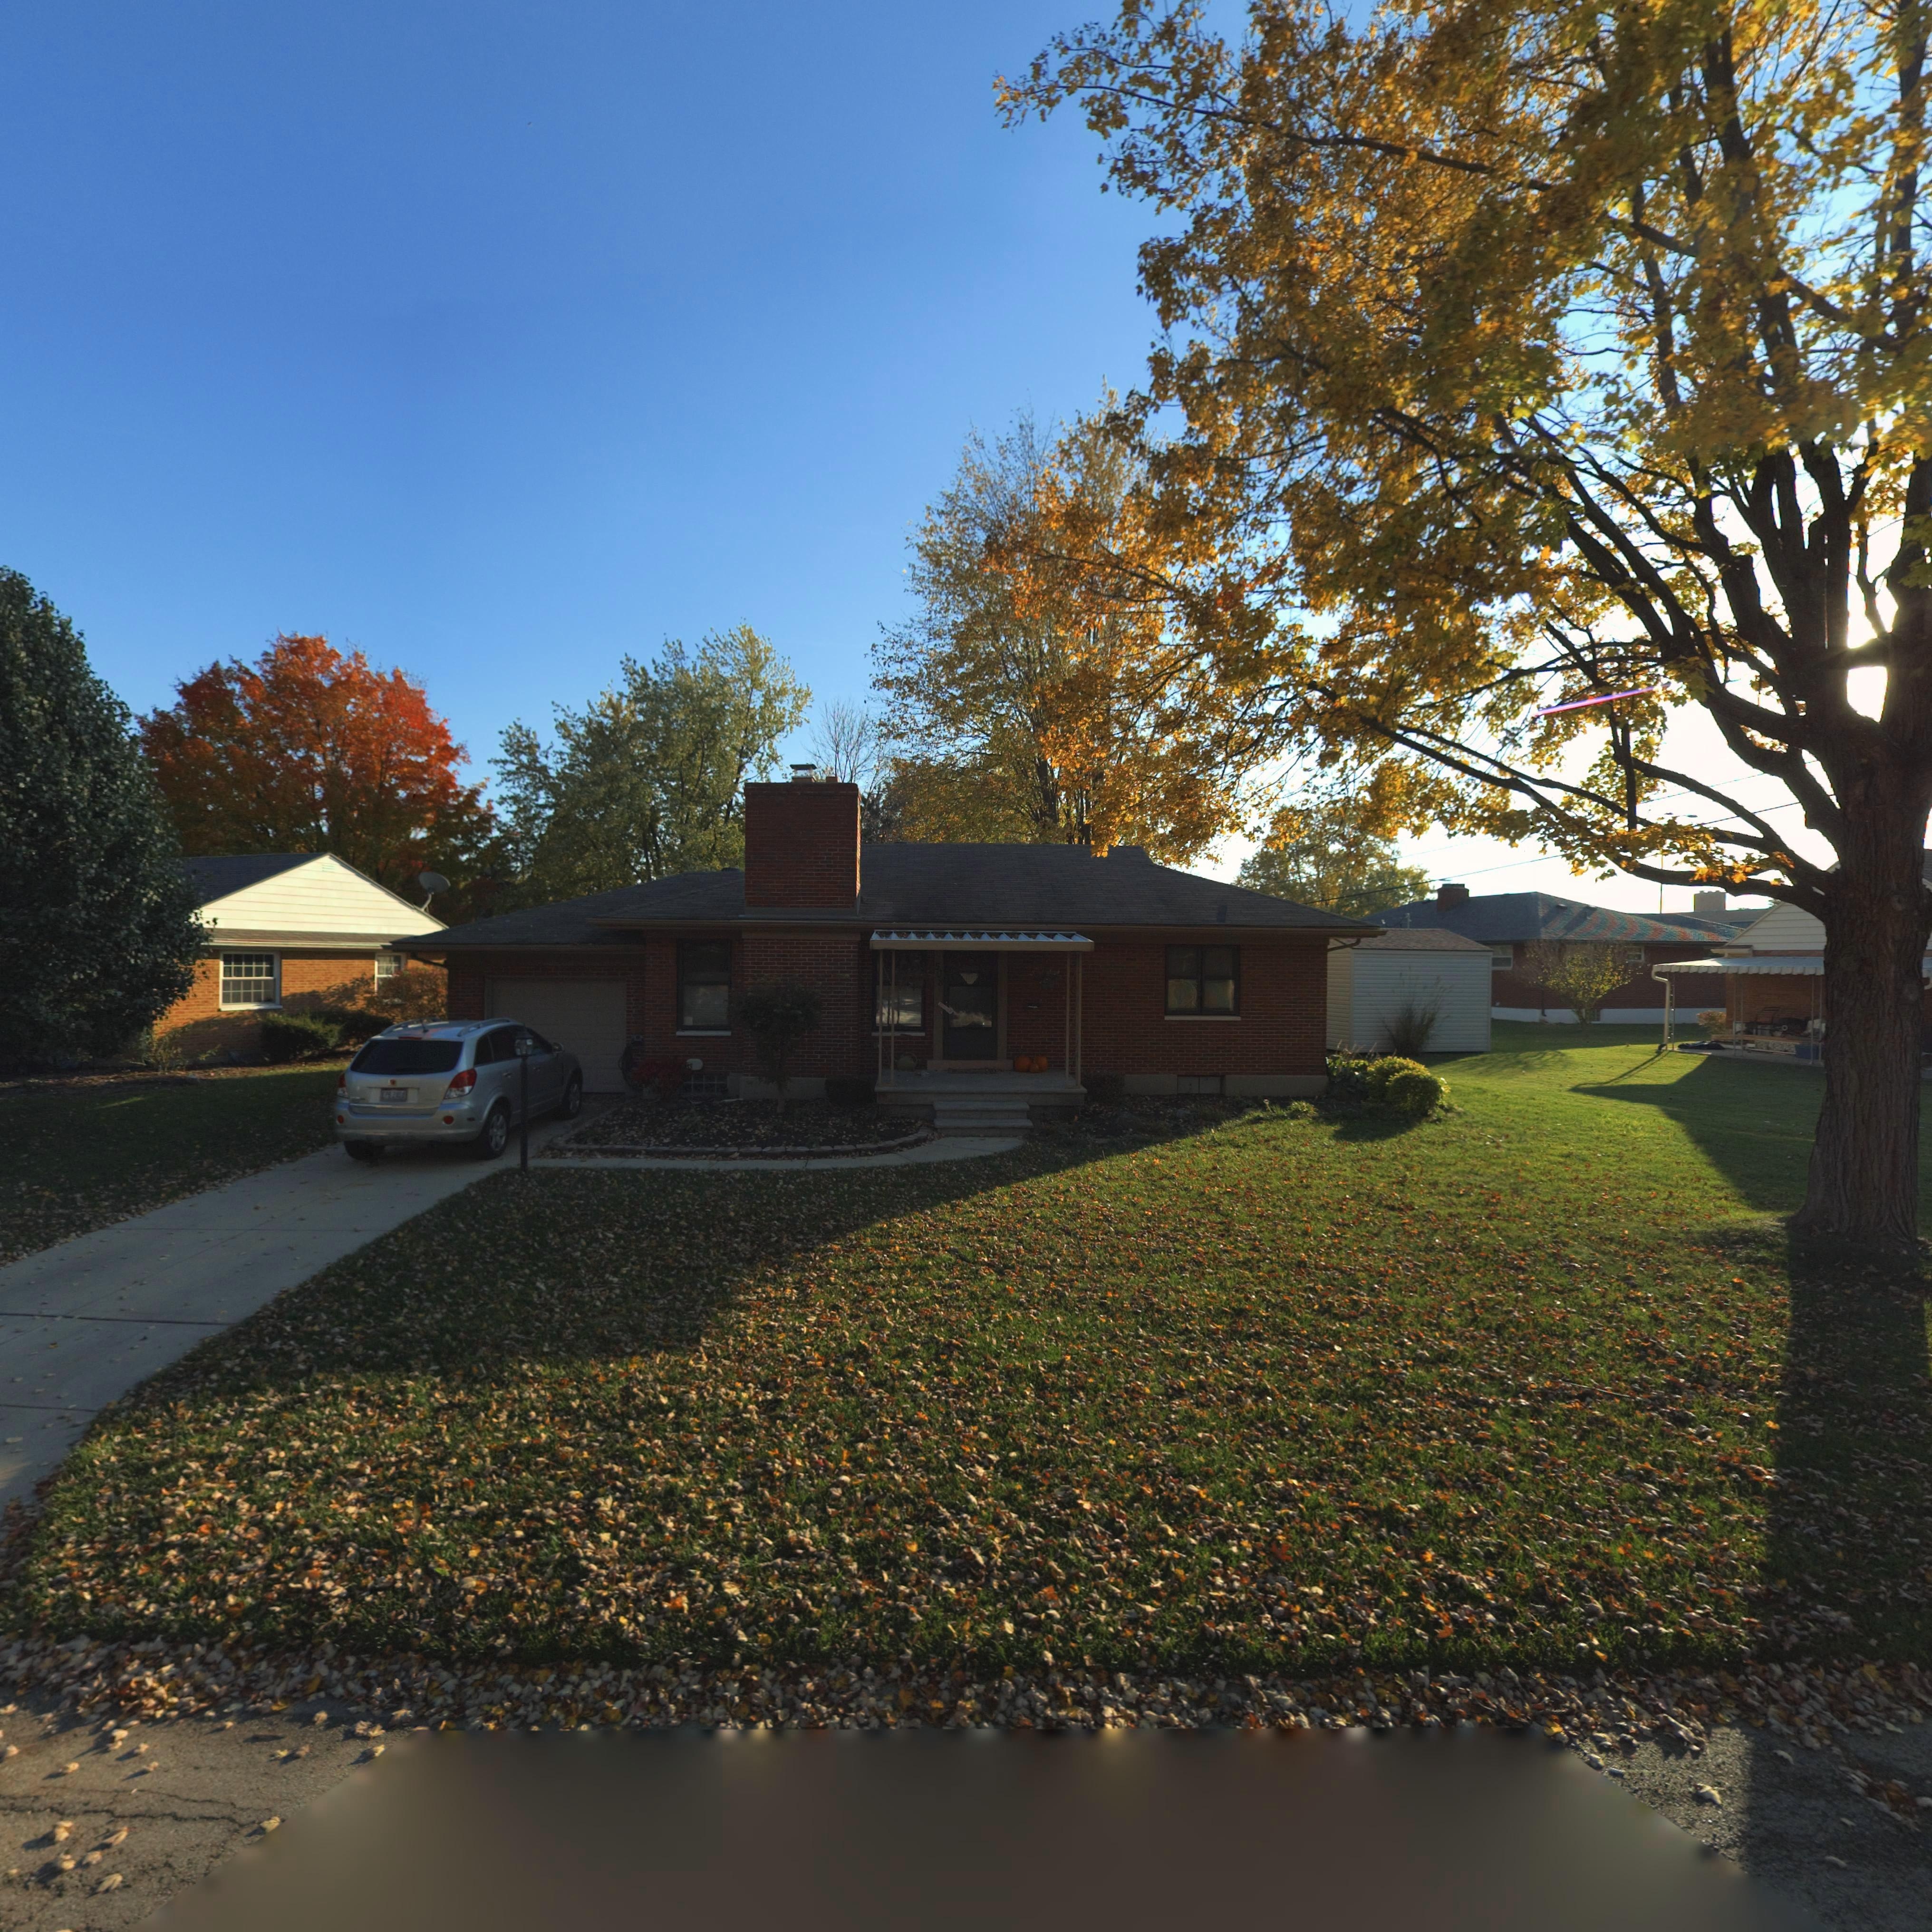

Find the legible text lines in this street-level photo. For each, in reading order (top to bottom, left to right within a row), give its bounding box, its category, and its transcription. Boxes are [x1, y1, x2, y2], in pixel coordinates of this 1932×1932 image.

[934, 962, 944, 987] StreetNumber: 508